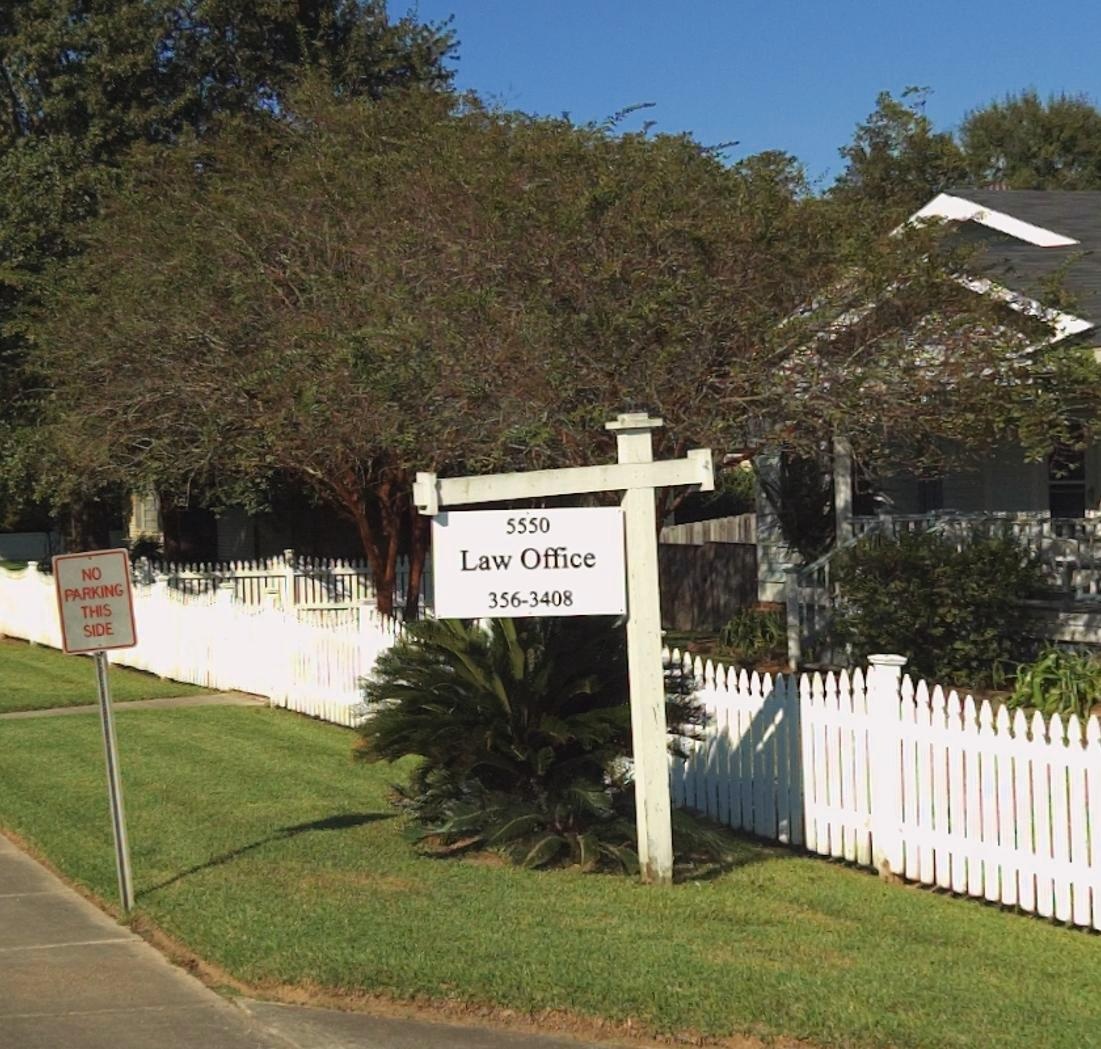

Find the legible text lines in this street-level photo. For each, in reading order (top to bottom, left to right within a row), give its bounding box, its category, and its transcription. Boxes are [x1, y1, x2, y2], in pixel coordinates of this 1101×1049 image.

[505, 516, 551, 536] StreetNumber: 5550
[458, 546, 596, 572] None: Law Office
[80, 566, 102, 582] None: NO
[62, 582, 124, 604] None: PARKING
[488, 589, 573, 609] None: 356-3408
[79, 602, 113, 620] None: THIS
[82, 621, 115, 639] None: SIDE